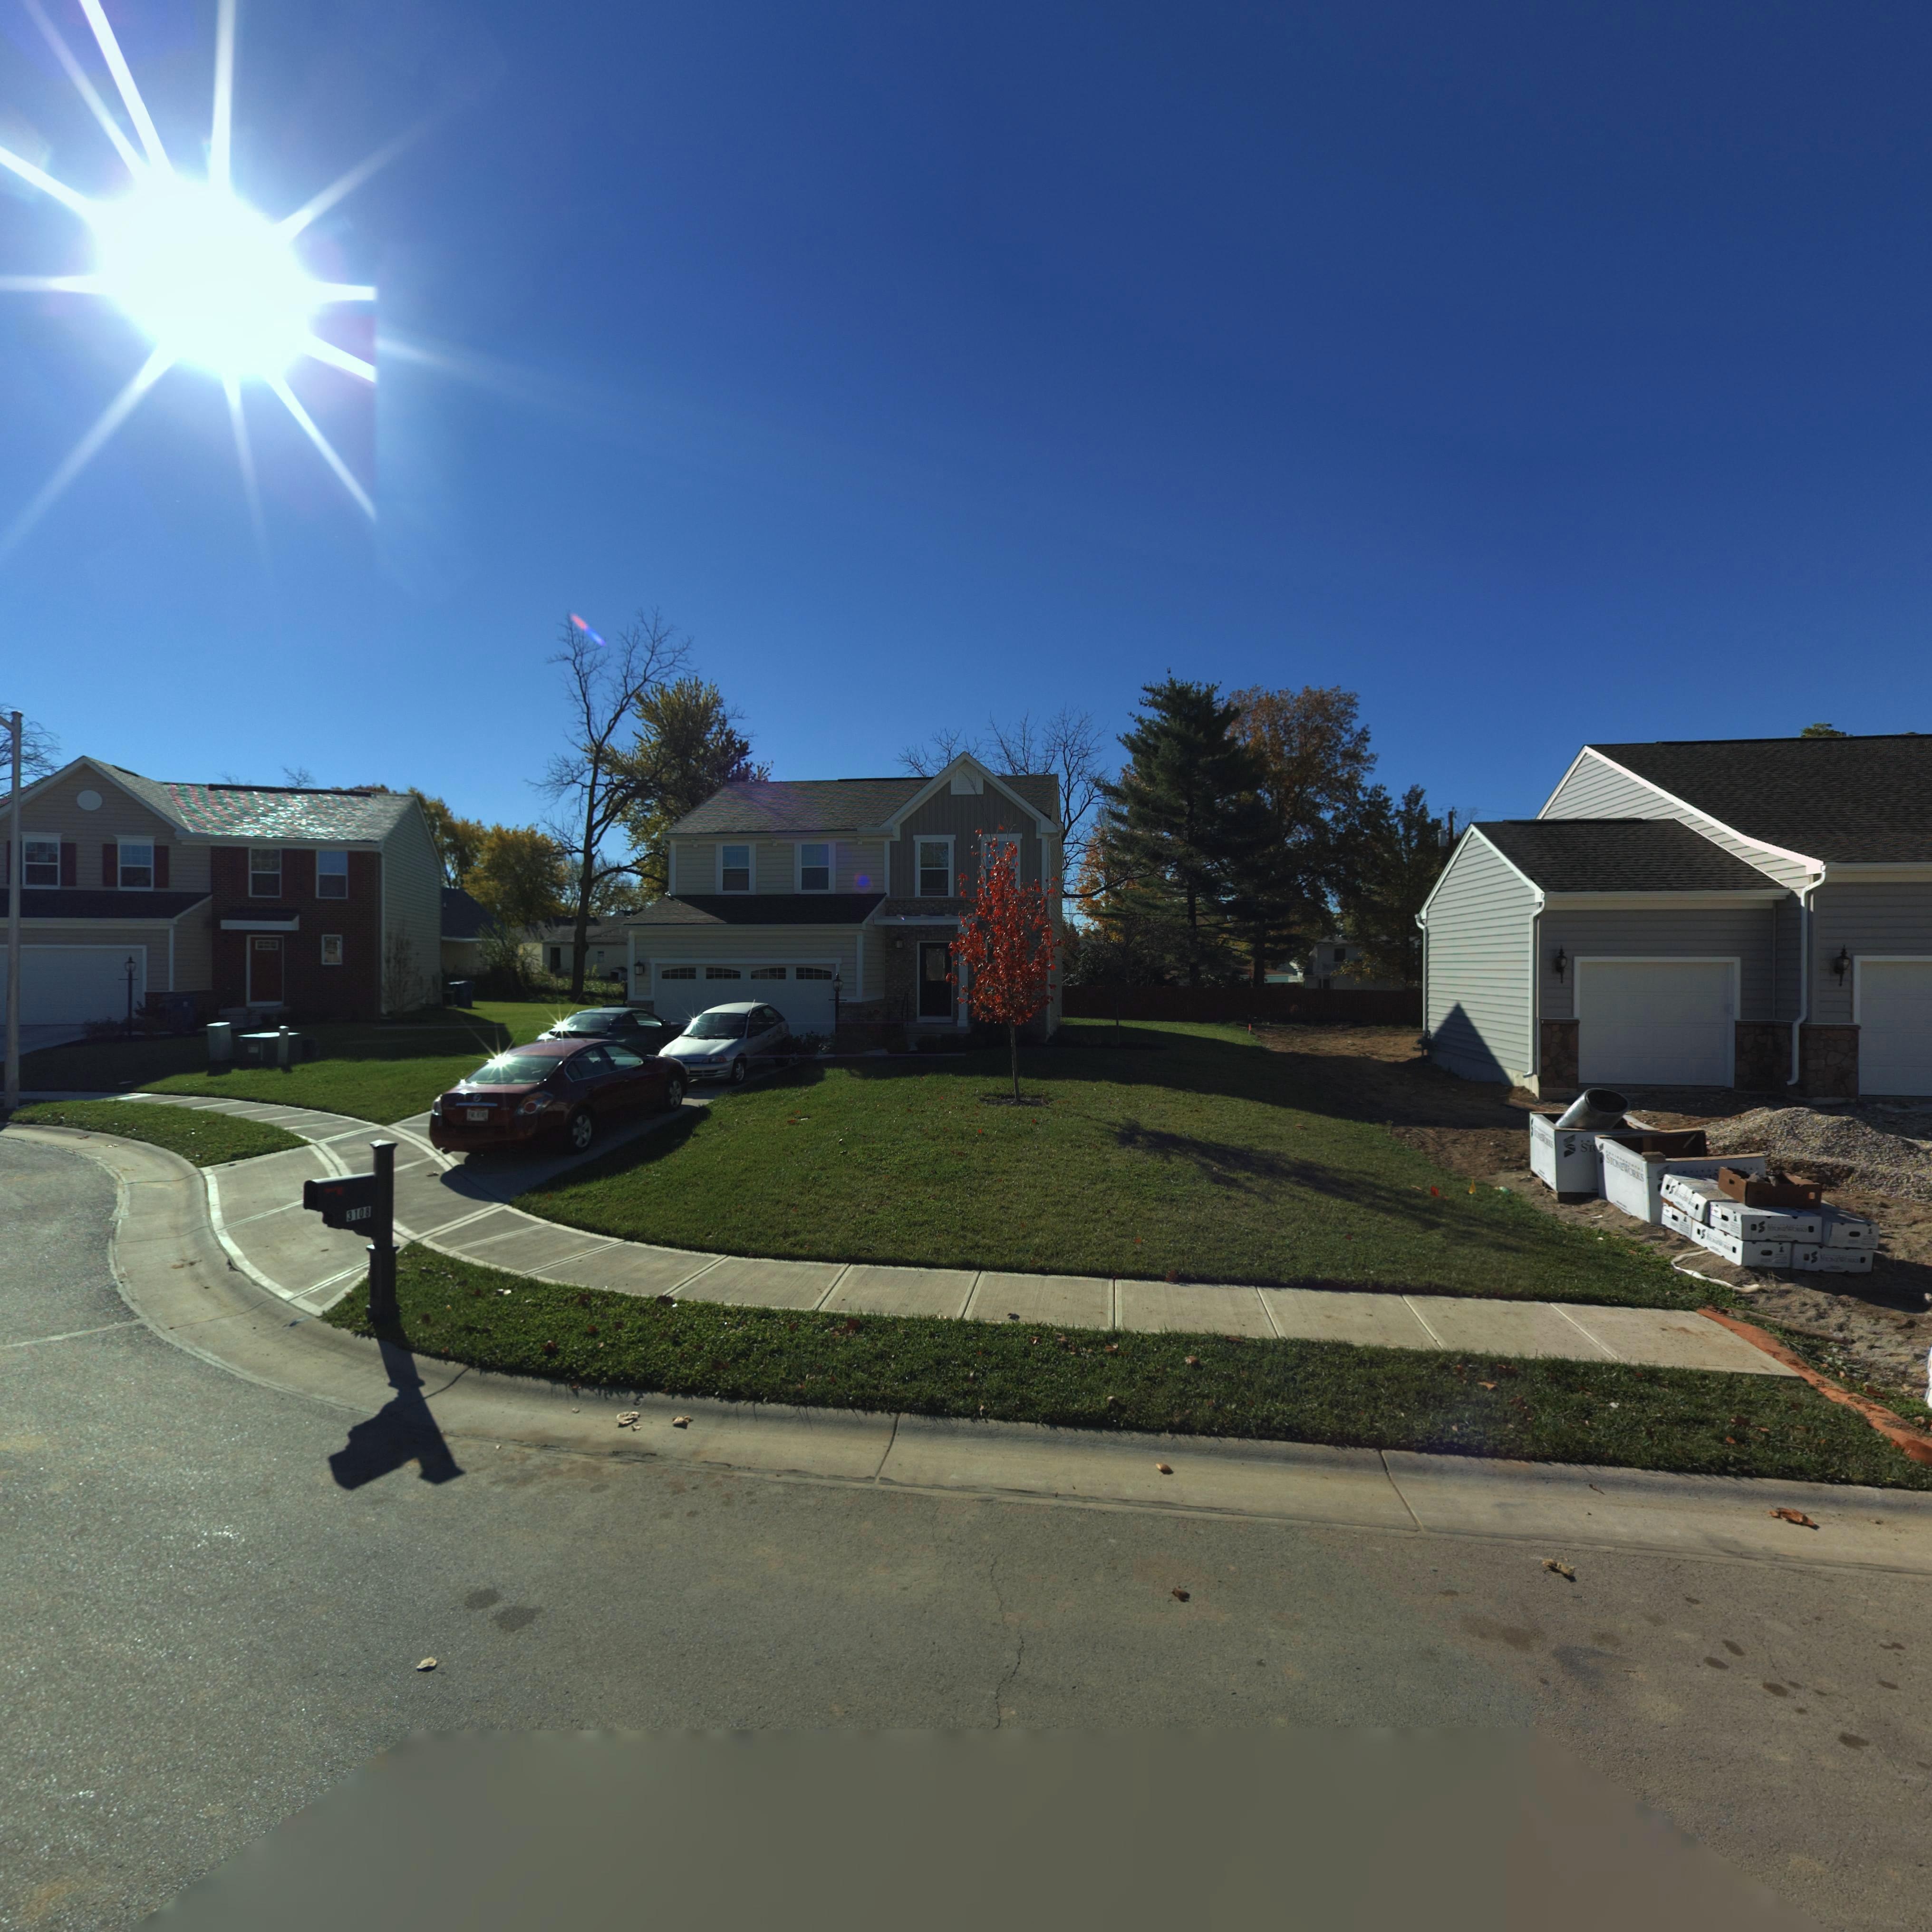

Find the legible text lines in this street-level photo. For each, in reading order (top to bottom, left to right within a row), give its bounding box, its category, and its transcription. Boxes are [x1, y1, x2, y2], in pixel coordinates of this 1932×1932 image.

[346, 1206, 371, 1222] StreetNumber: 3108